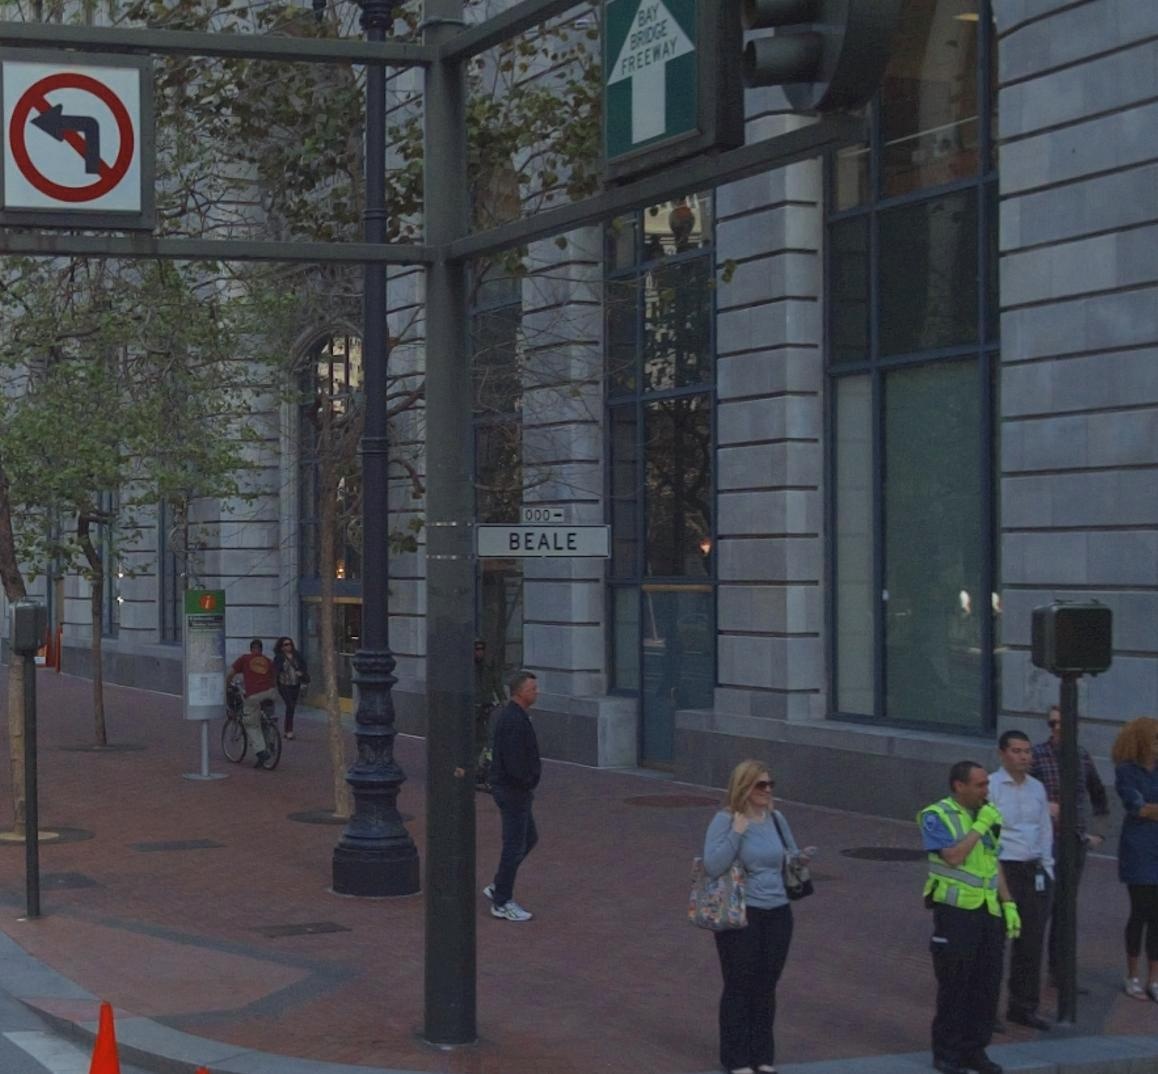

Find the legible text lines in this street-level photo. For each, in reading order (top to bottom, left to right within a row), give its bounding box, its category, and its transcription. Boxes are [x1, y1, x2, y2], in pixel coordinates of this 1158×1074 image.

[634, 0, 663, 31] None: BAY
[628, 15, 671, 54] None: BRIDGE
[618, 32, 680, 79] None: FREEWAY
[522, 507, 565, 523] StreetNumberRange: 000->
[507, 530, 579, 553] StreetName: BEALE
[202, 592, 213, 611] None: i